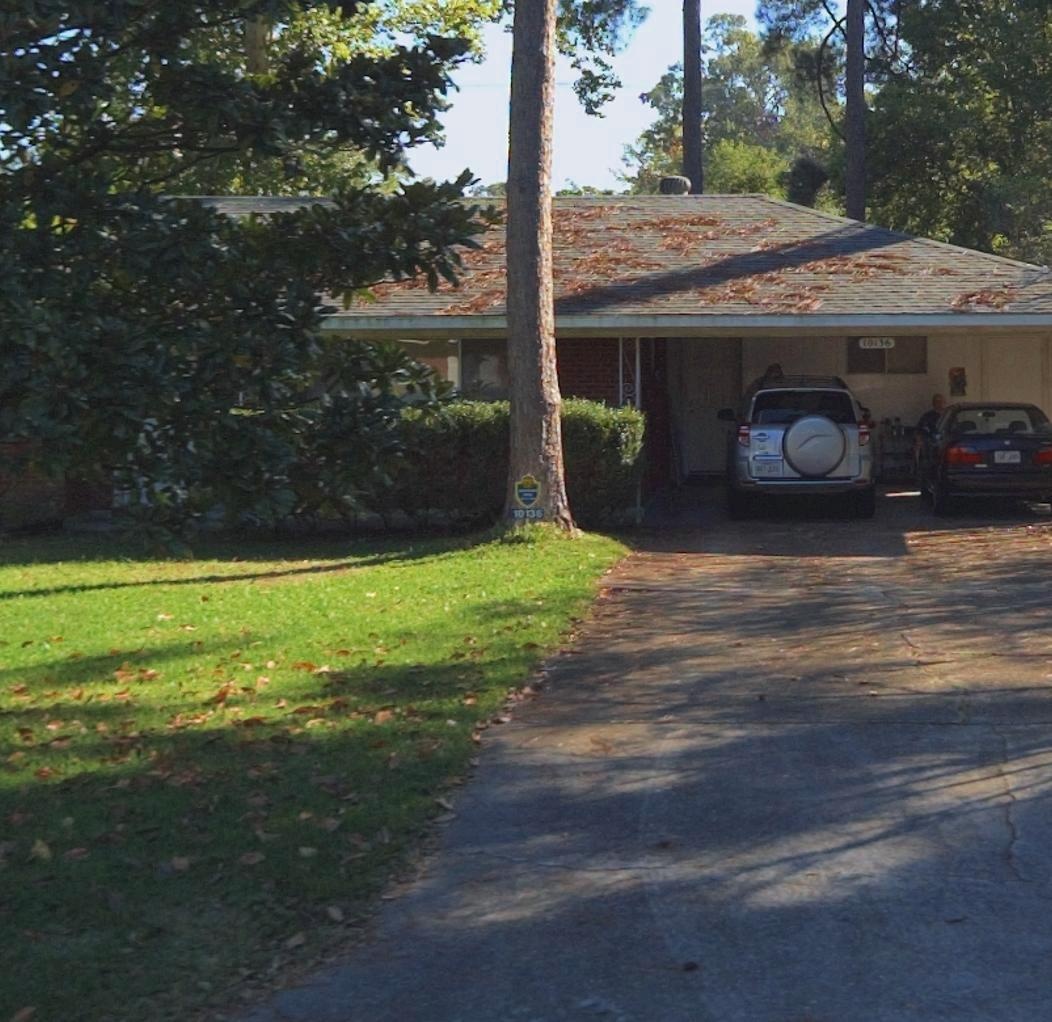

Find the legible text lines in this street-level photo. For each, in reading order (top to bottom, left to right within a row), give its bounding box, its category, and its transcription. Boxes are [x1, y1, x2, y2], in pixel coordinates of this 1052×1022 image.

[861, 338, 892, 347] StreetNumber: 10136
[512, 509, 543, 519] StreetNumber: 10136